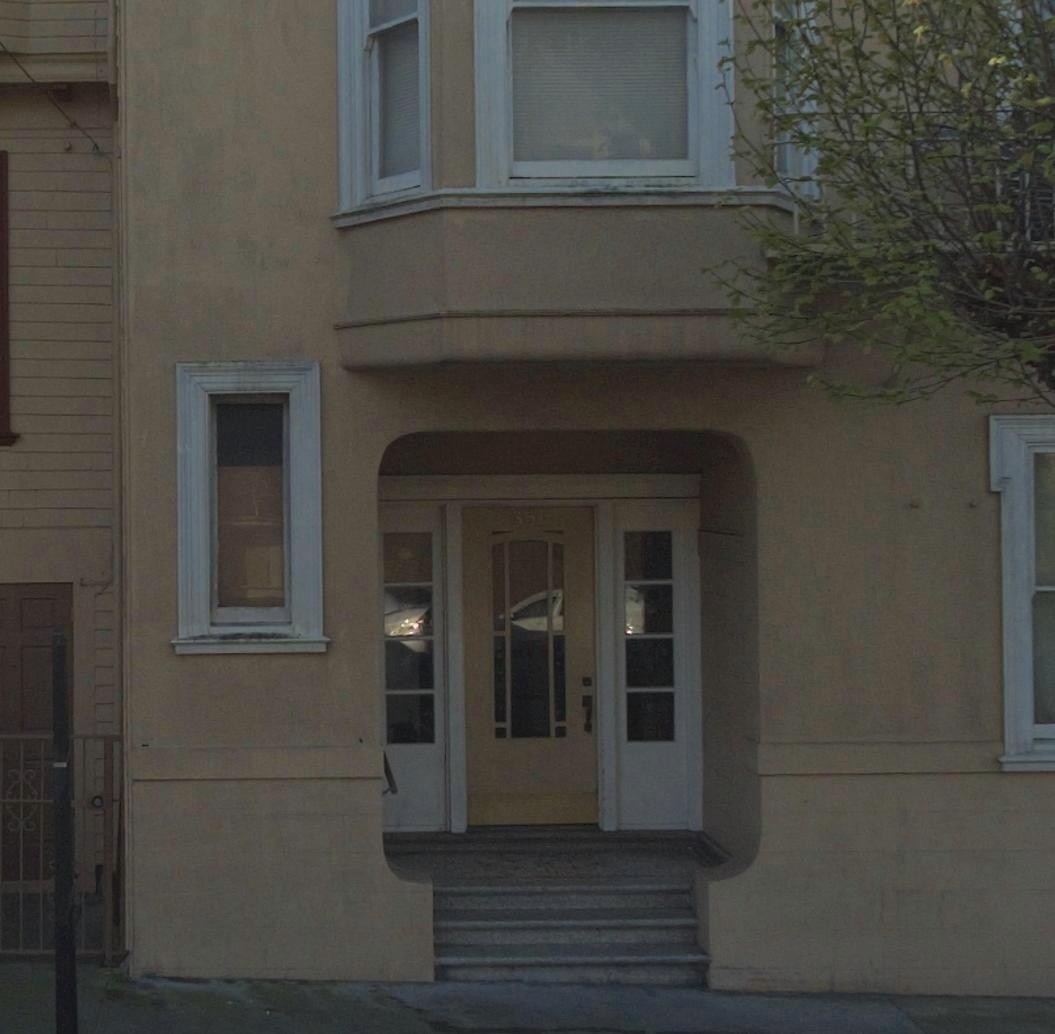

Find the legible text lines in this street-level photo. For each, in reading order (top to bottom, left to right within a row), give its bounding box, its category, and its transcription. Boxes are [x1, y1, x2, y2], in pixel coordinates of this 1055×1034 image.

[510, 507, 547, 528] StreetNumber: 35*